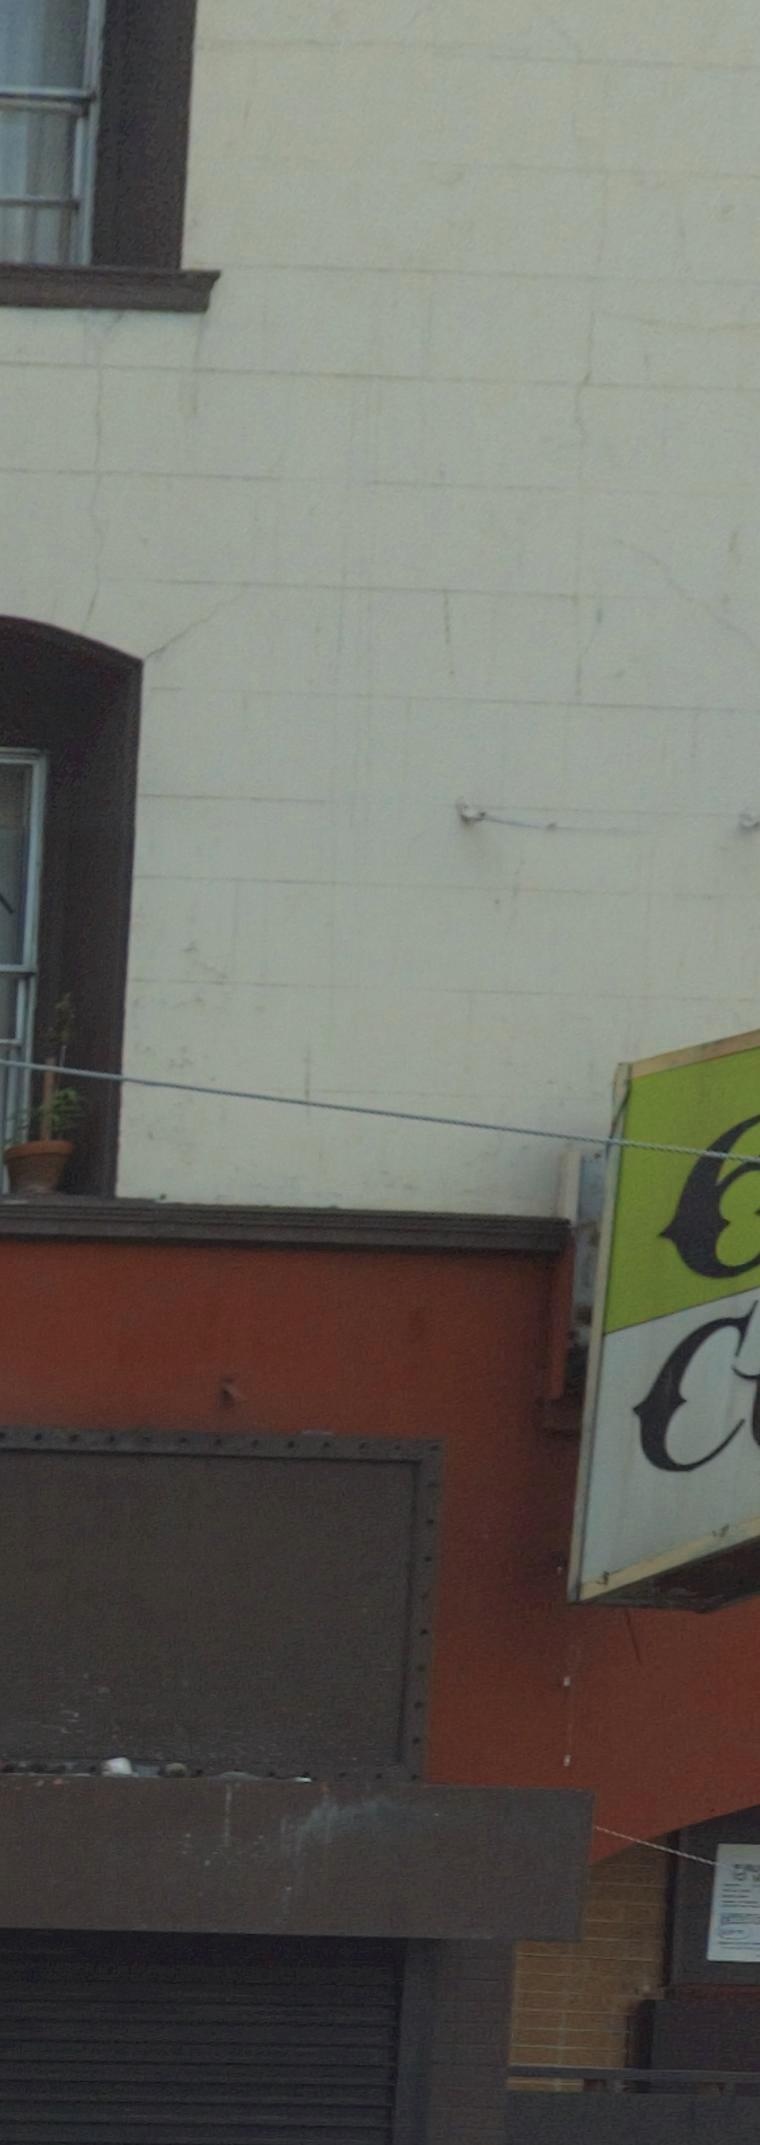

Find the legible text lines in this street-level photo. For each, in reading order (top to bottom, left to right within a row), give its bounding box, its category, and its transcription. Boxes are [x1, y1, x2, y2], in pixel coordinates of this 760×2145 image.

[626, 1294, 758, 1478] BusinessName: C